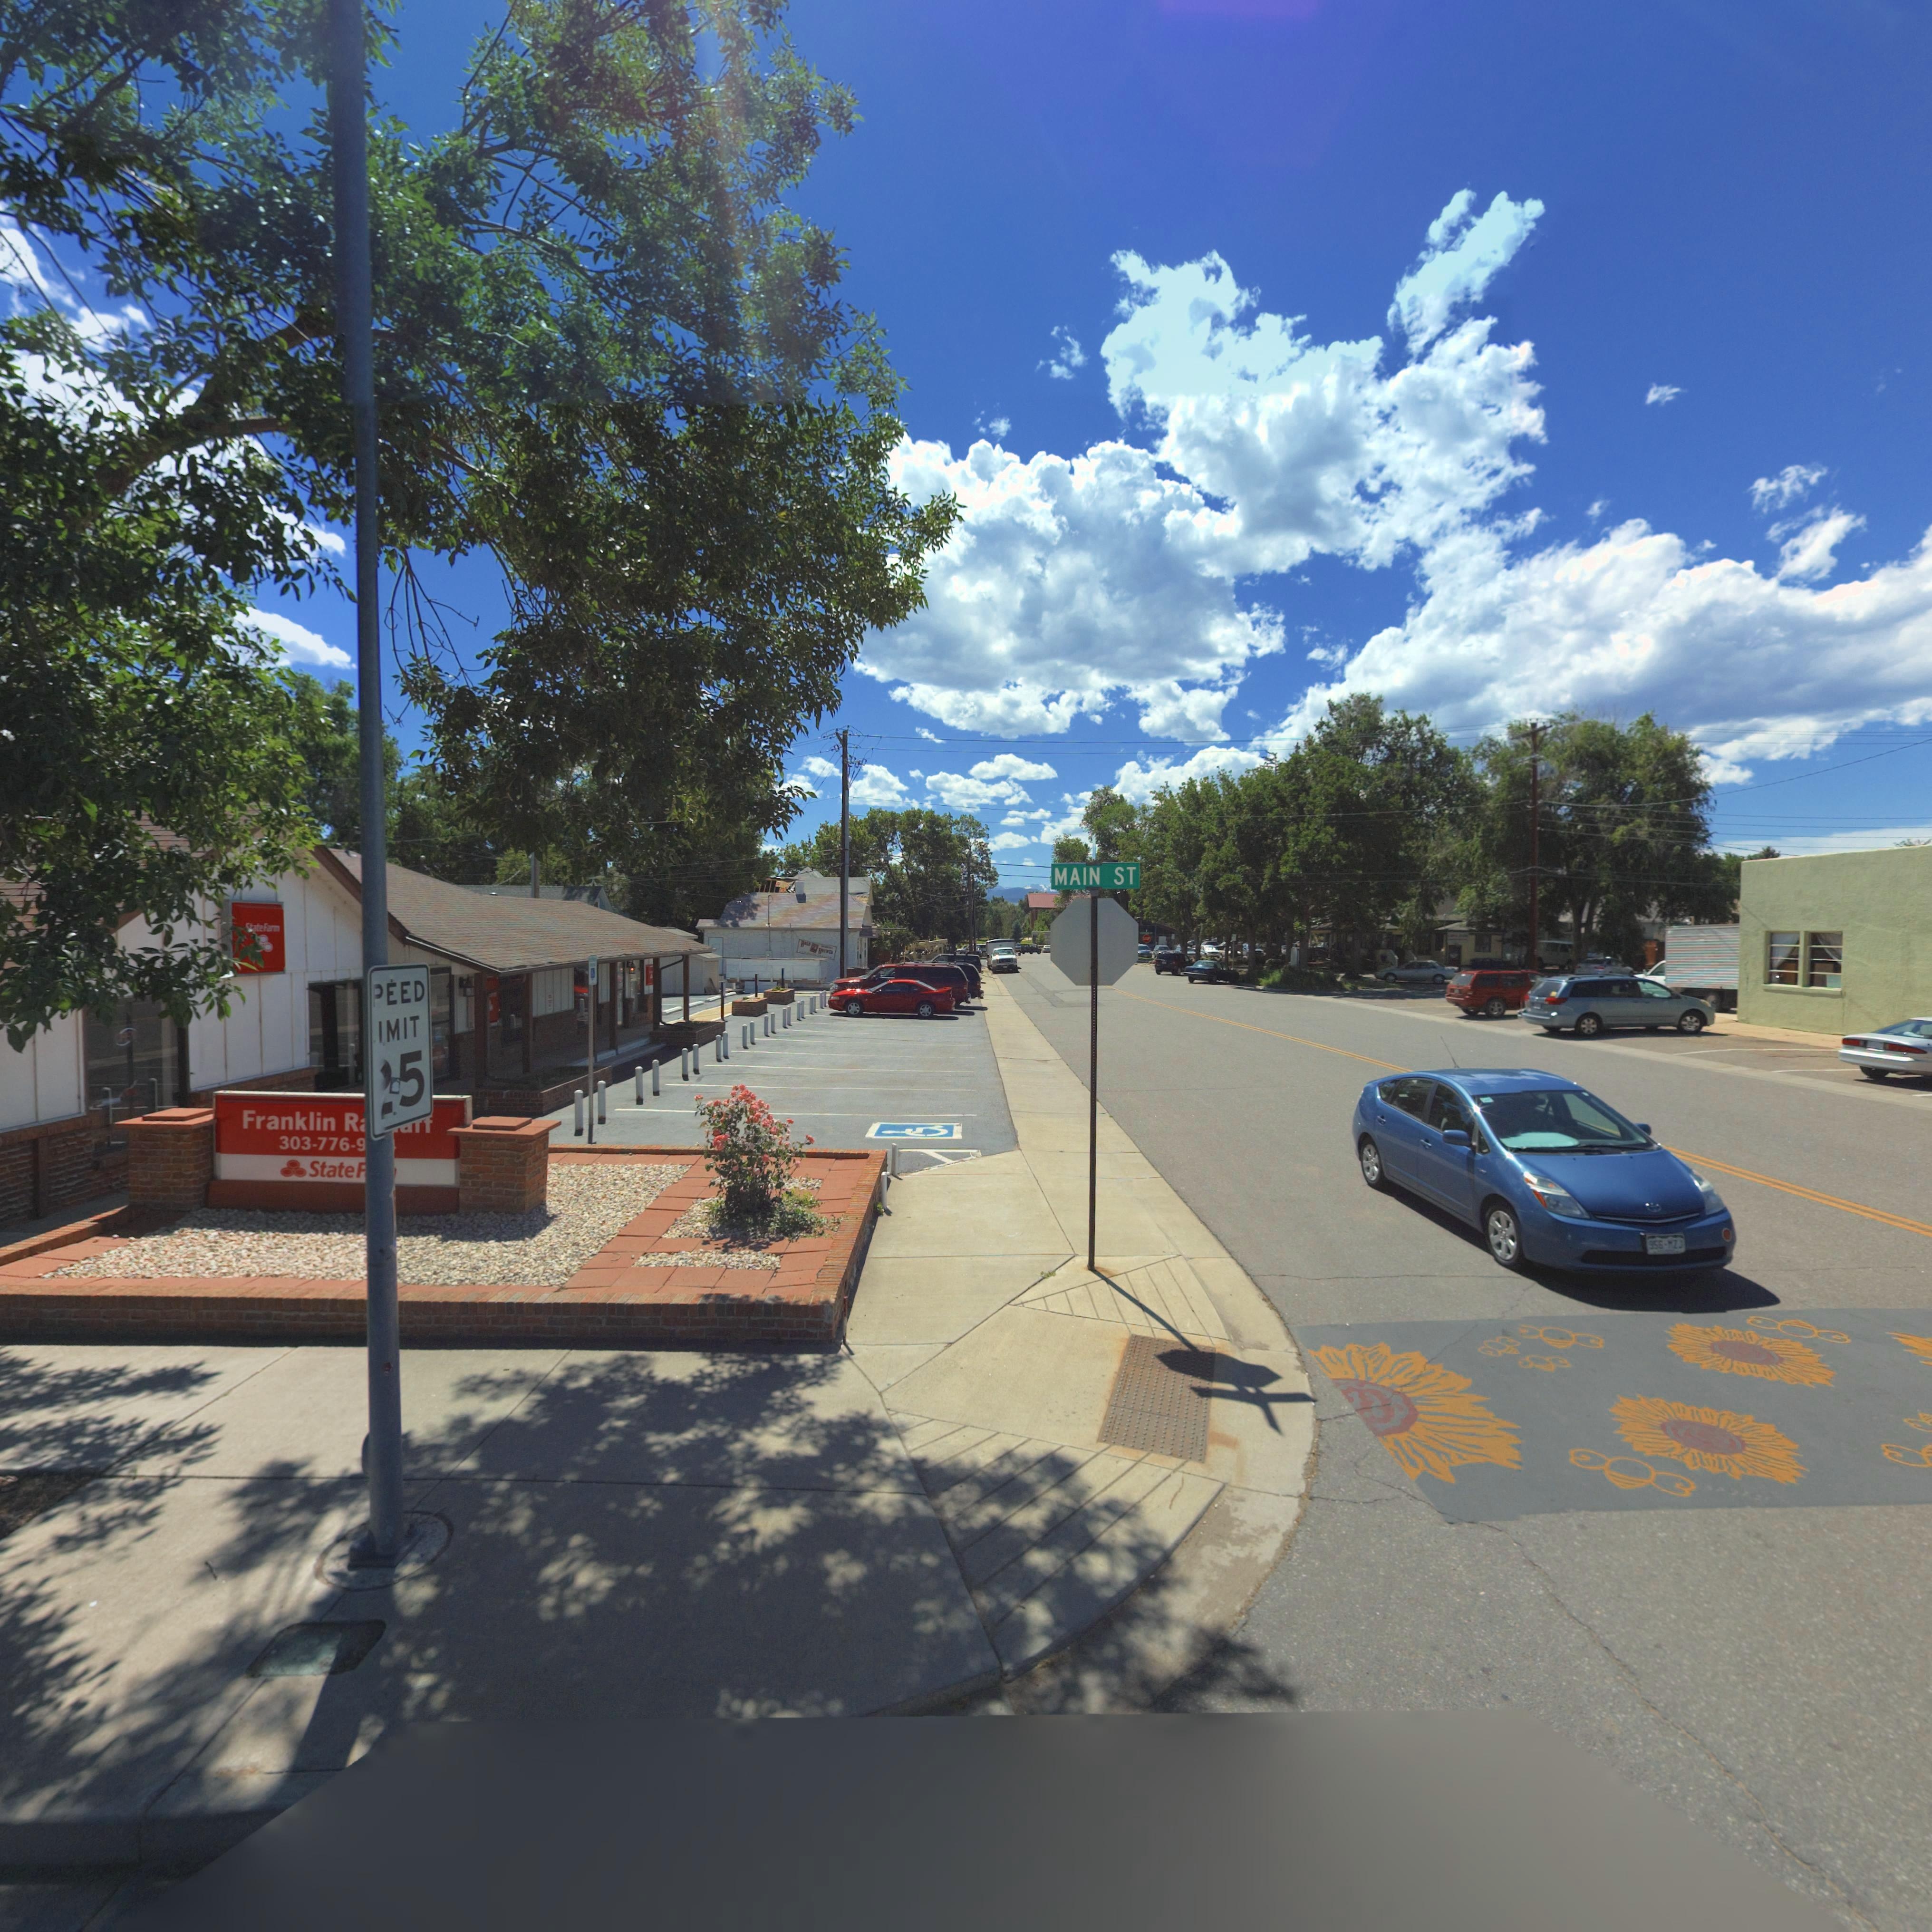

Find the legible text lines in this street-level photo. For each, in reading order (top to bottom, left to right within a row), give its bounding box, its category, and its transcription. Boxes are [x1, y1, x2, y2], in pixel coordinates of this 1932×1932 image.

[1054, 866, 1136, 886] StreetName: MAIN ST
[245, 922, 280, 932] BusinessName: **ate Farm
[800, 940, 811, 947] BusinessName: B*LD
[818, 947, 833, 954] BusinessName: B**WE*
[309, 1159, 397, 1180] BusinessName: State F***